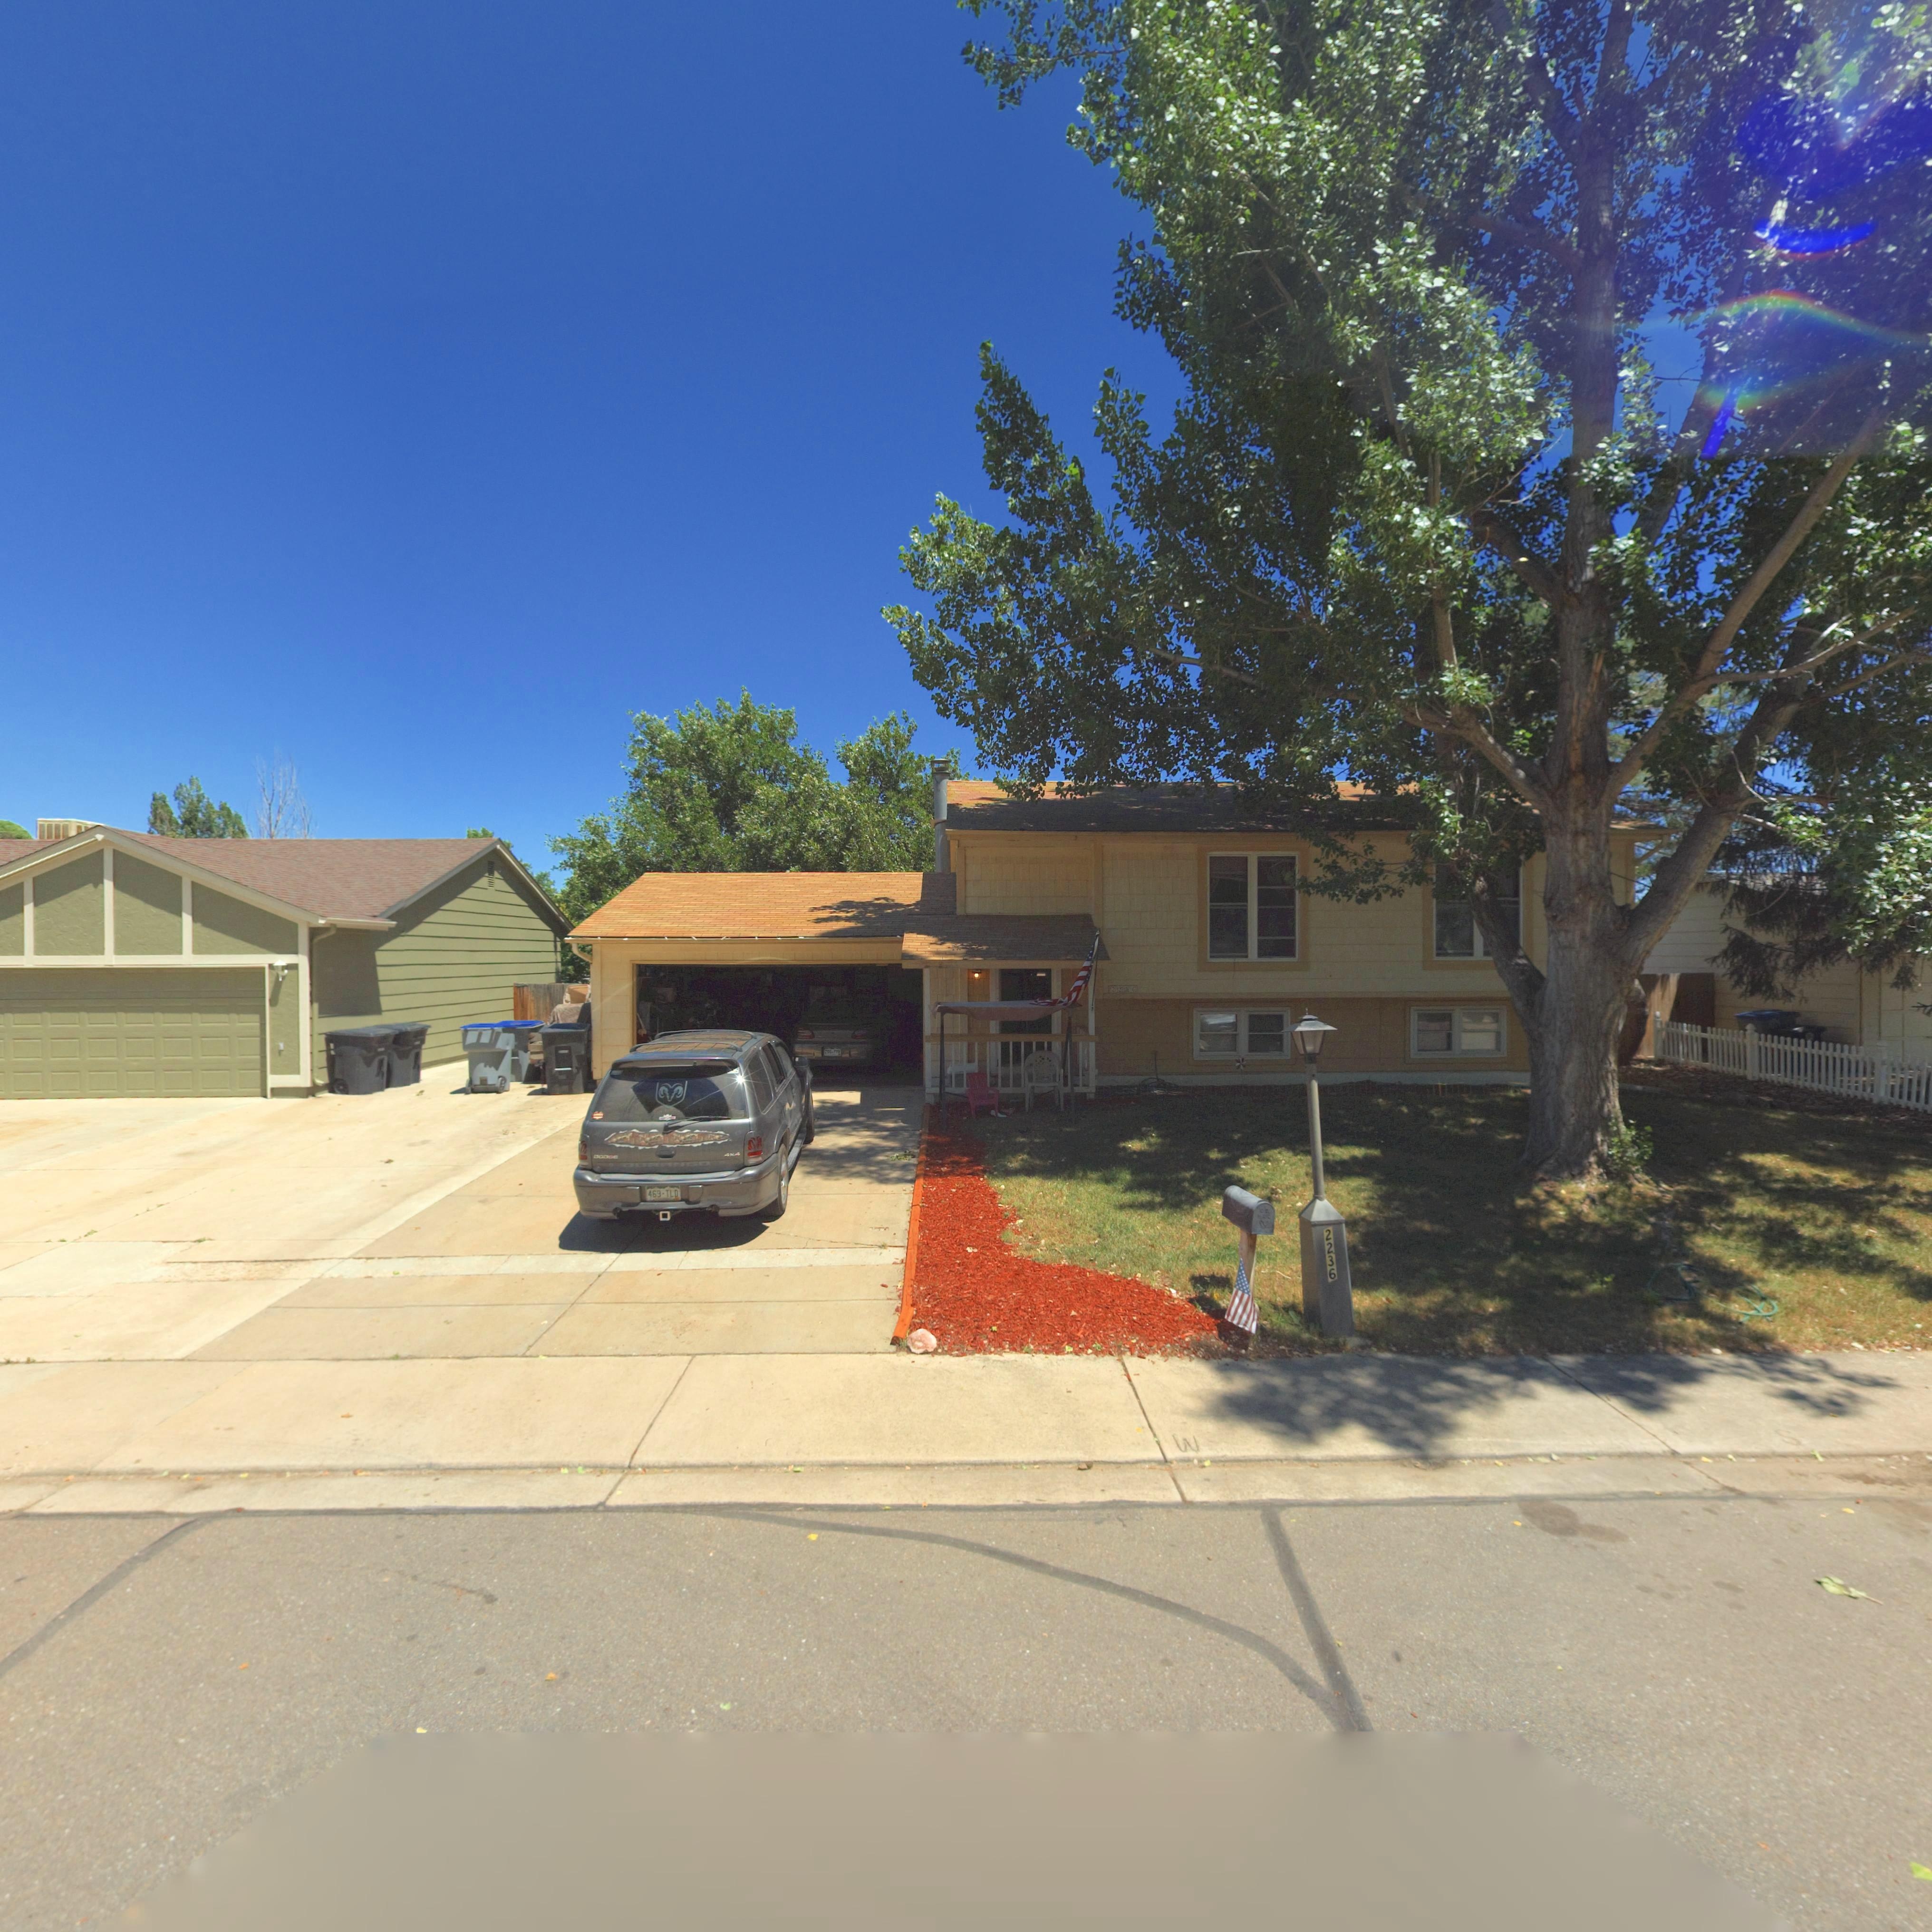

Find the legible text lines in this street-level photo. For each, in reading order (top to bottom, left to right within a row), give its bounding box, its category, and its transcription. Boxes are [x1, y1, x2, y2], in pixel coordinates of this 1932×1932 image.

[1111, 986, 1135, 992] StreetNumber: 2**6
[1324, 1228, 1336, 1279] StreetNumber: 2236